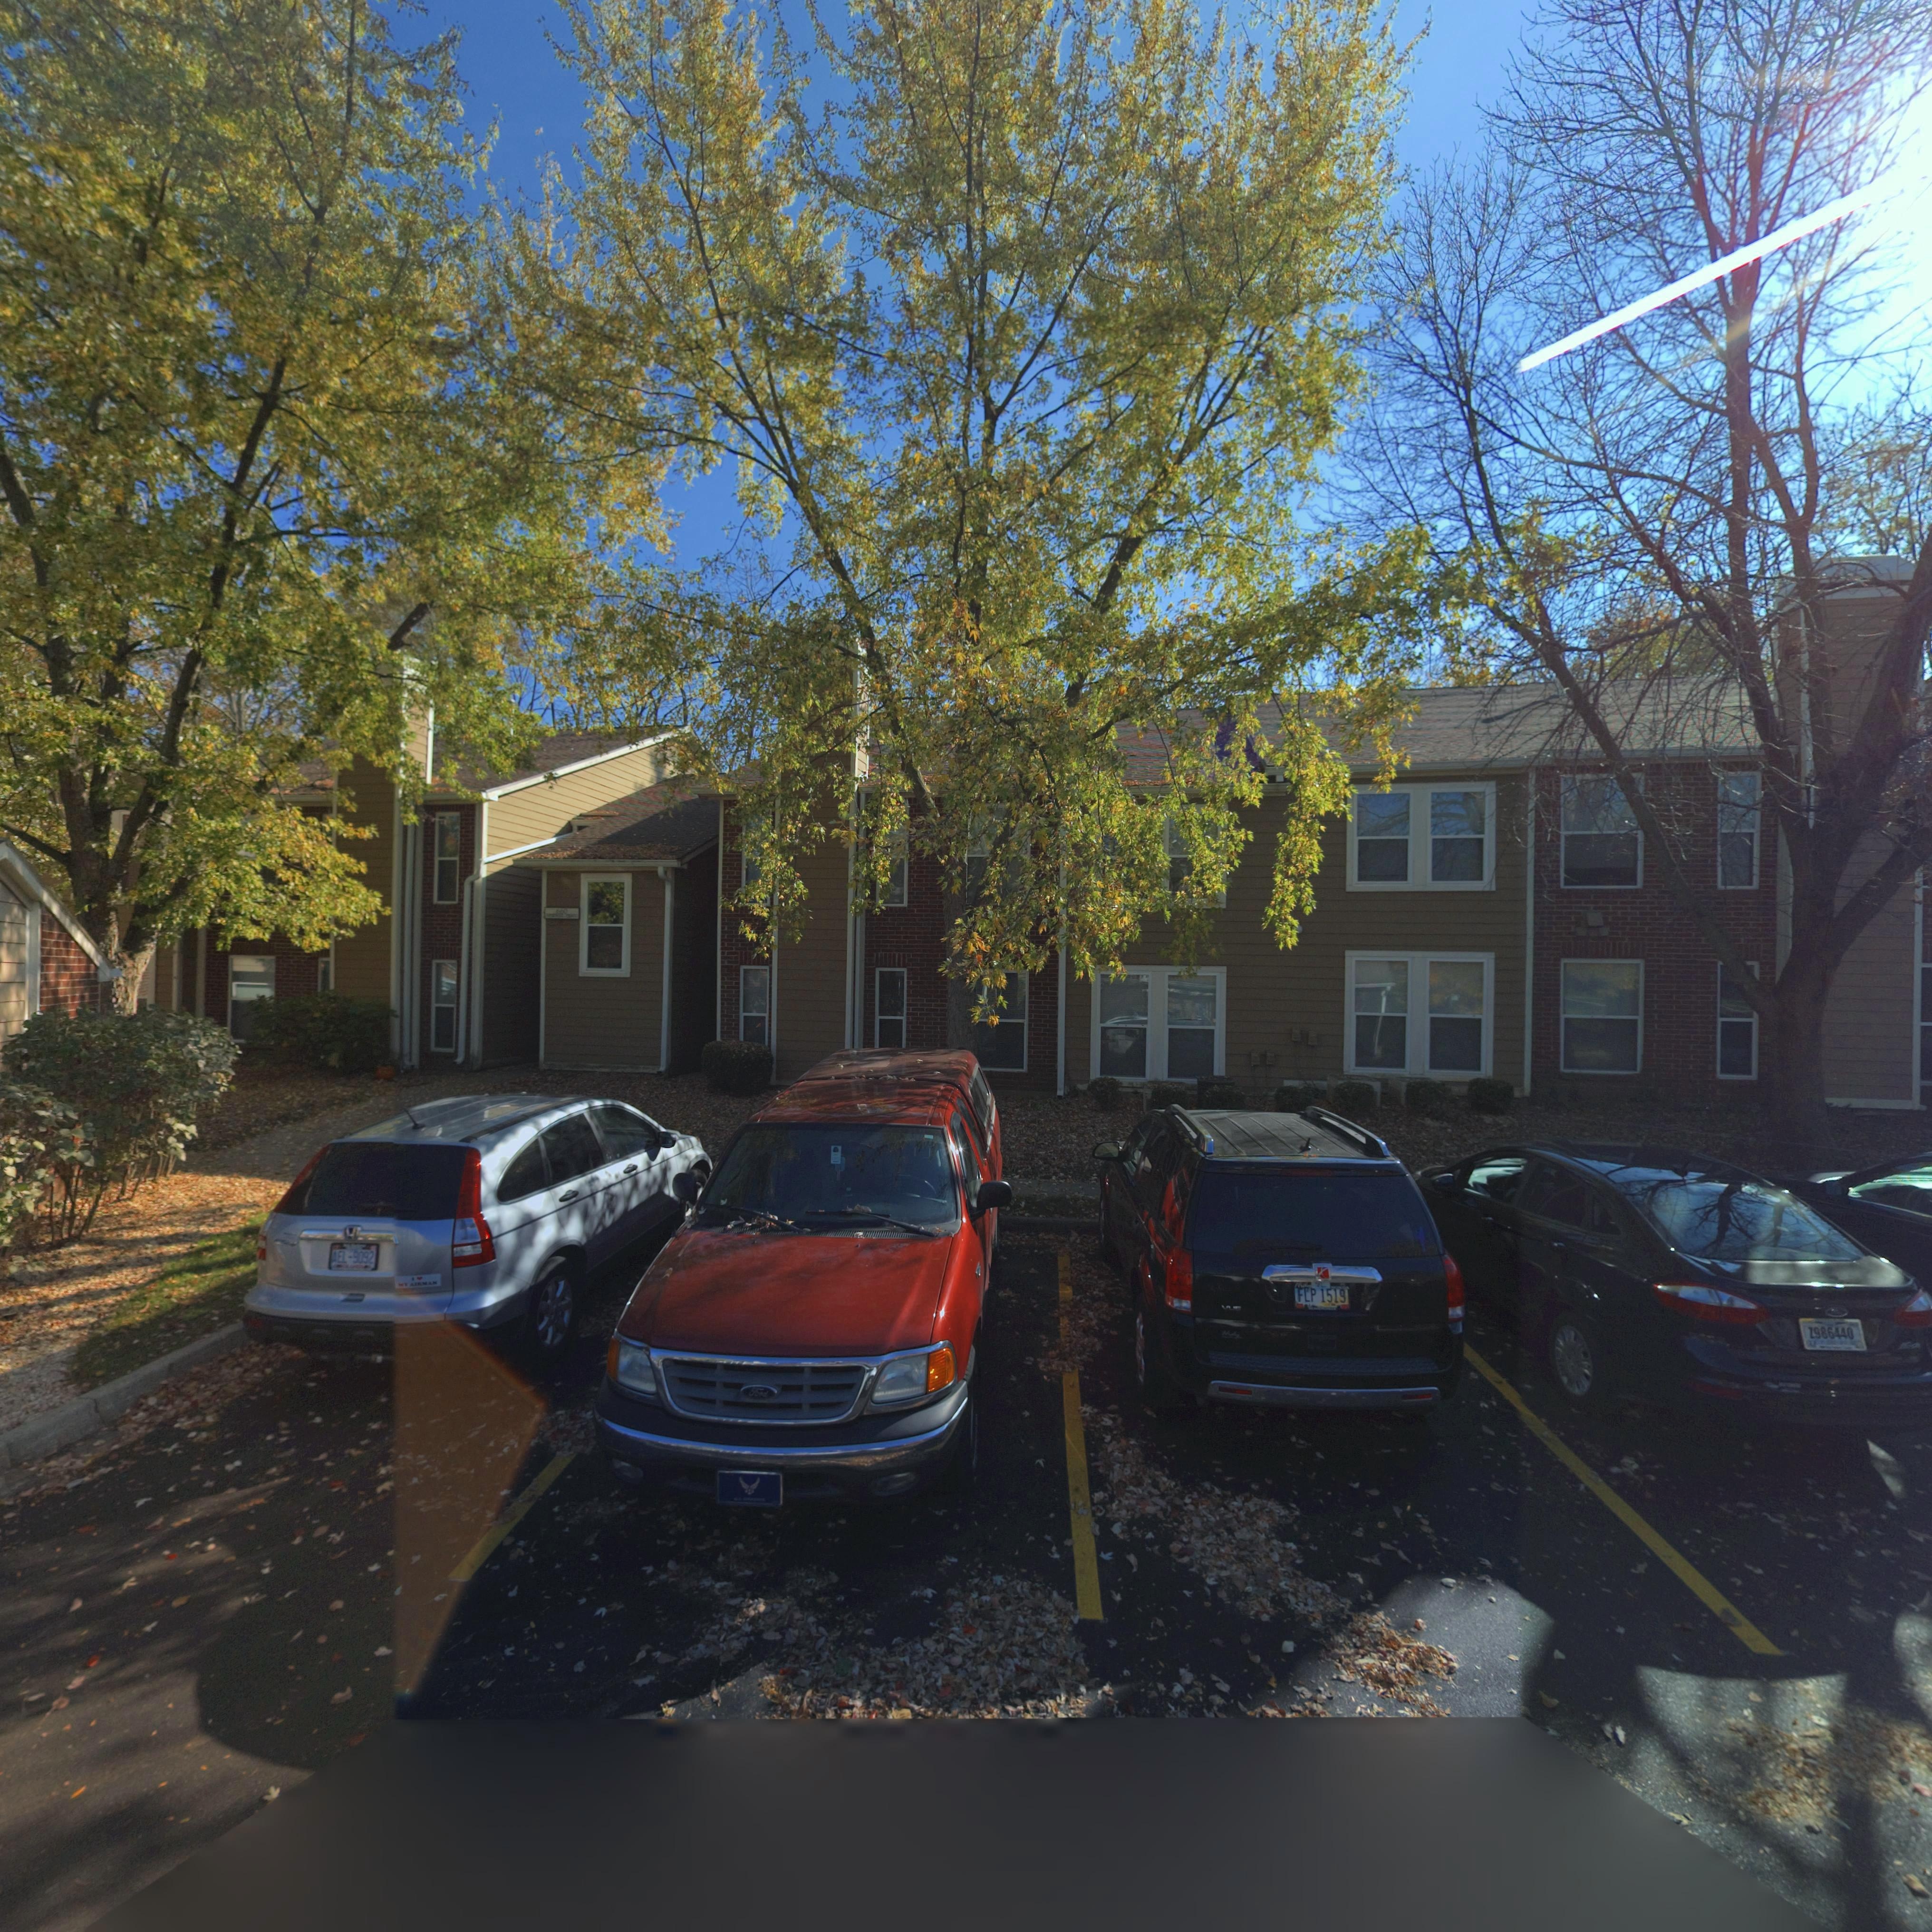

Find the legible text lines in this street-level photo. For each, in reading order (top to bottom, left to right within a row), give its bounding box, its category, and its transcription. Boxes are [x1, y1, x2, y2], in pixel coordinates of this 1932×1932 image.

[555, 907, 569, 915] StreetNumber: 660
[328, 1248, 377, 1265] None: AEL-9092
[1297, 1287, 1347, 1305] None: FLP 1519
[1807, 1325, 1855, 1341] None: Z986440